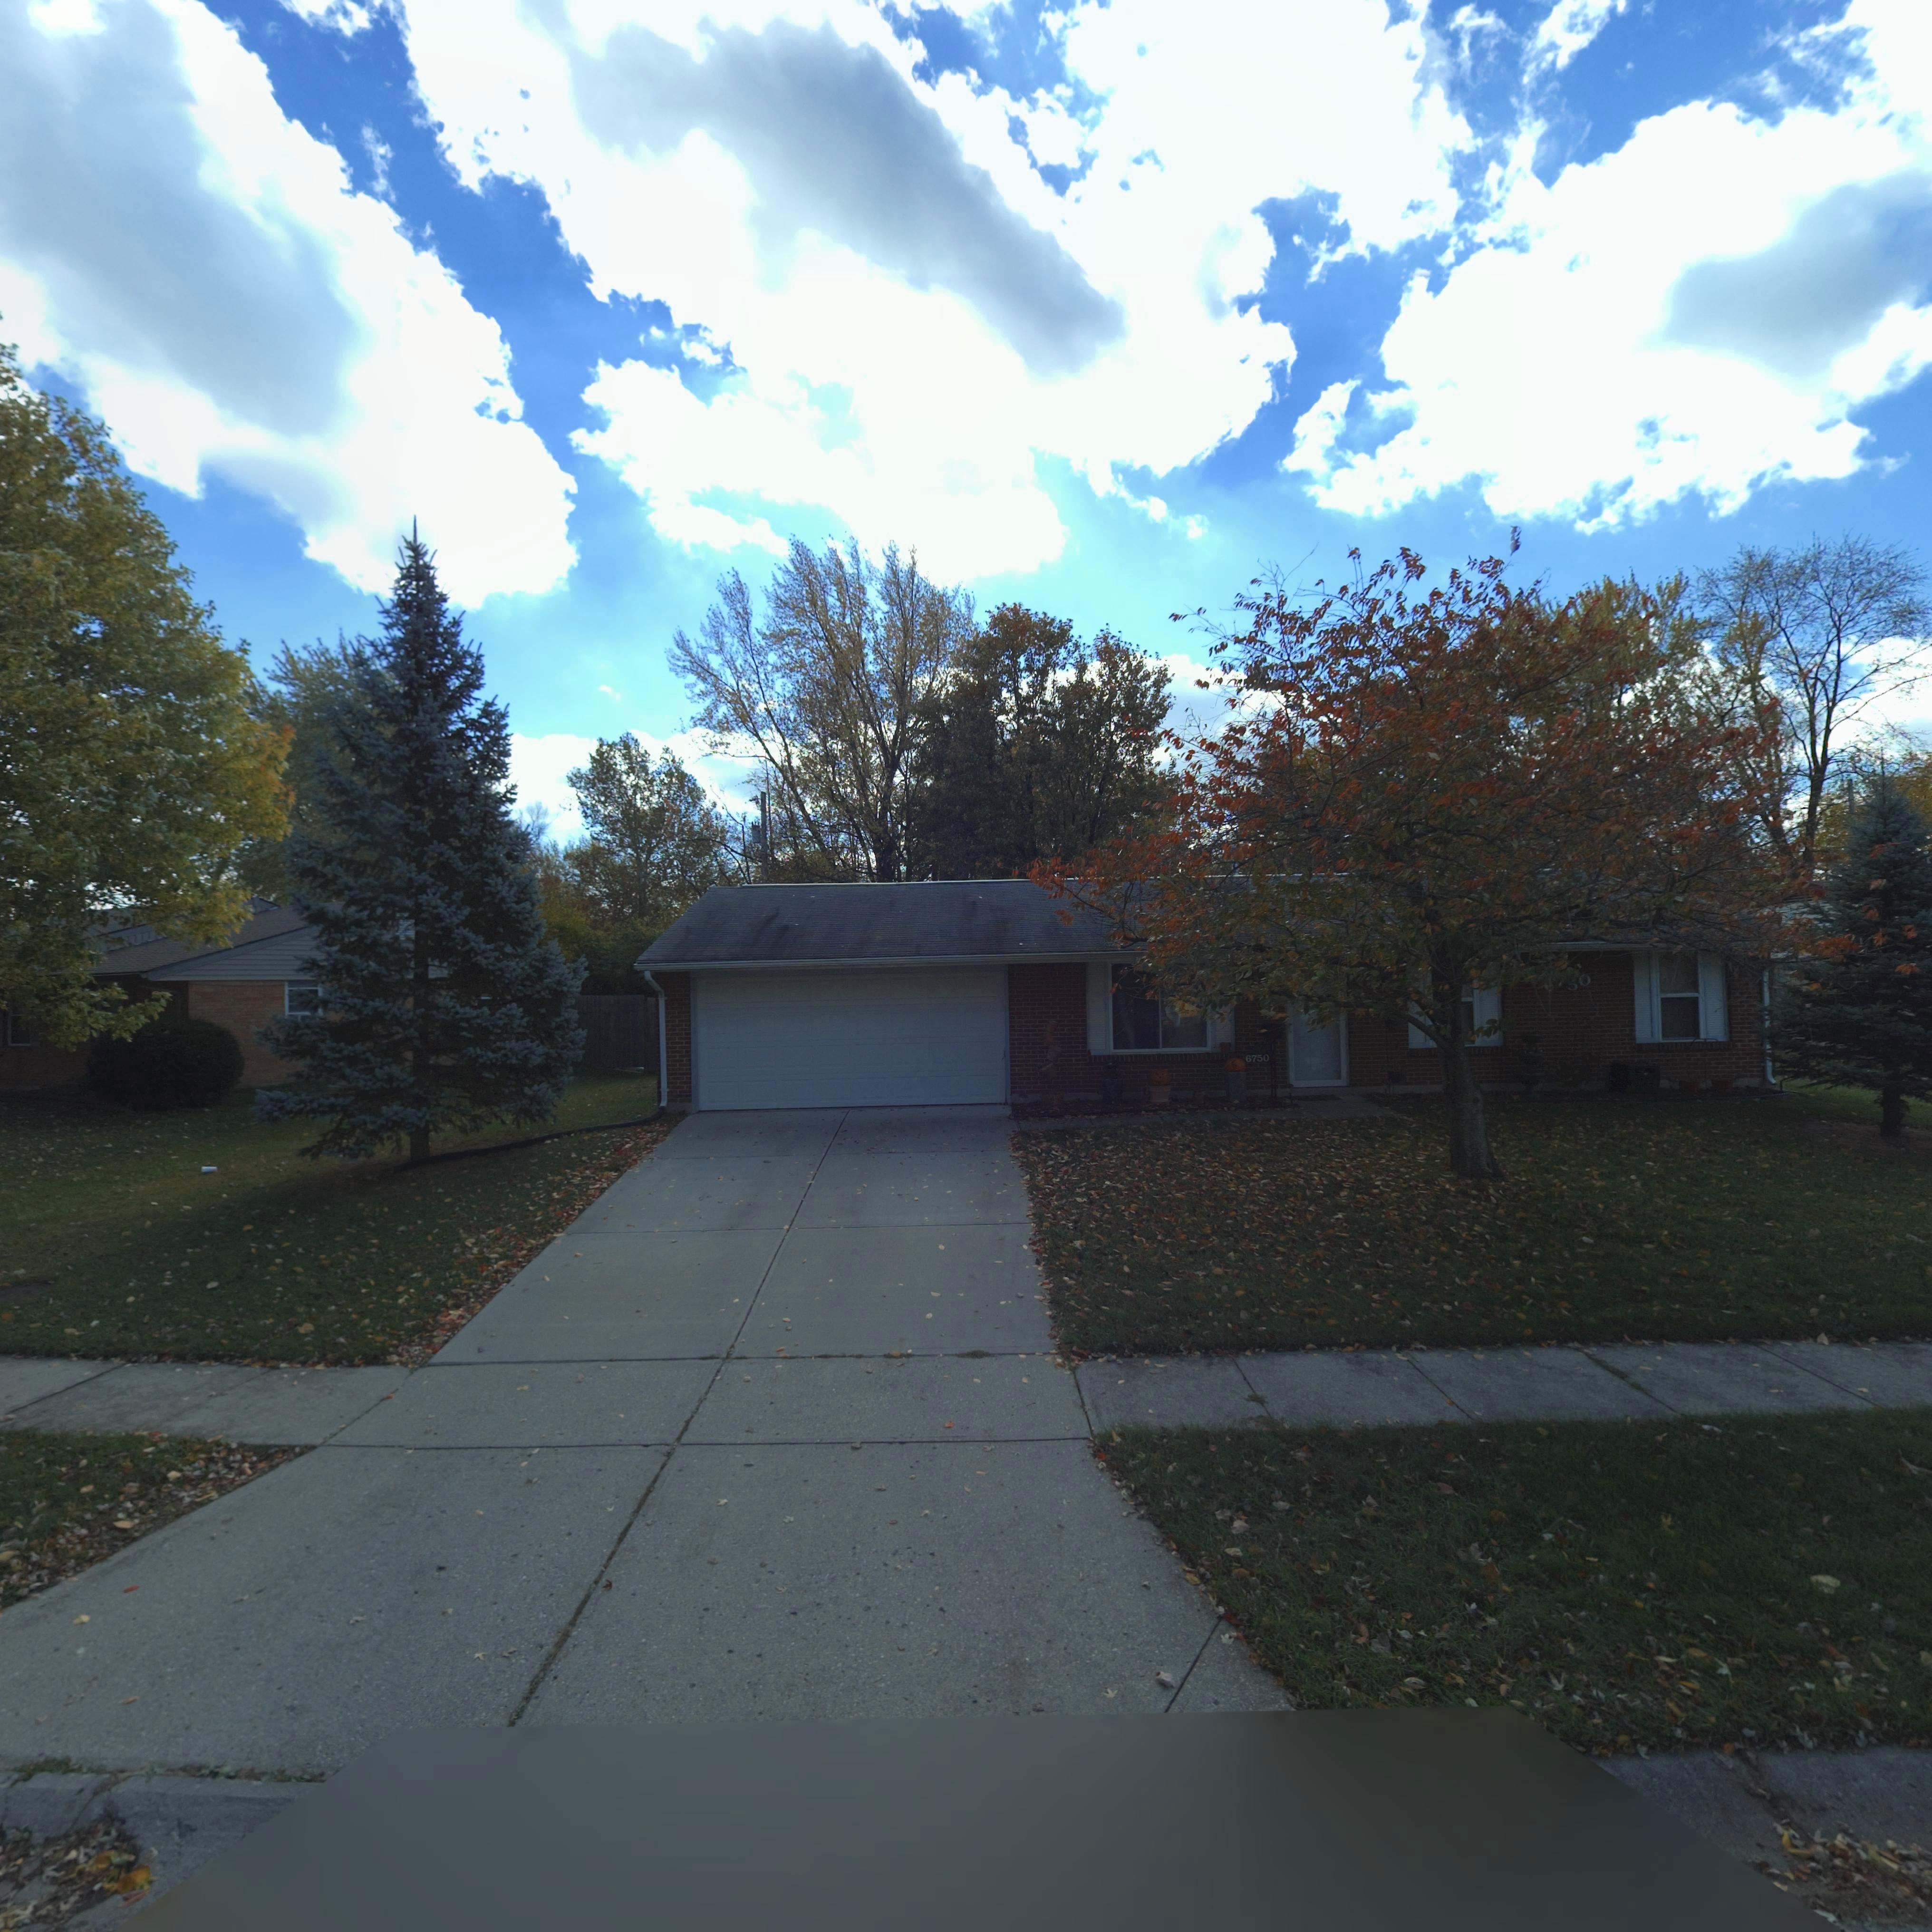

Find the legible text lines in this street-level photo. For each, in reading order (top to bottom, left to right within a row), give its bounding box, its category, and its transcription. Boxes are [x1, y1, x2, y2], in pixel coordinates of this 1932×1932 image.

[1565, 973, 1591, 991] StreetNumber: 50
[1245, 1053, 1270, 1063] StreetNumber: 6750